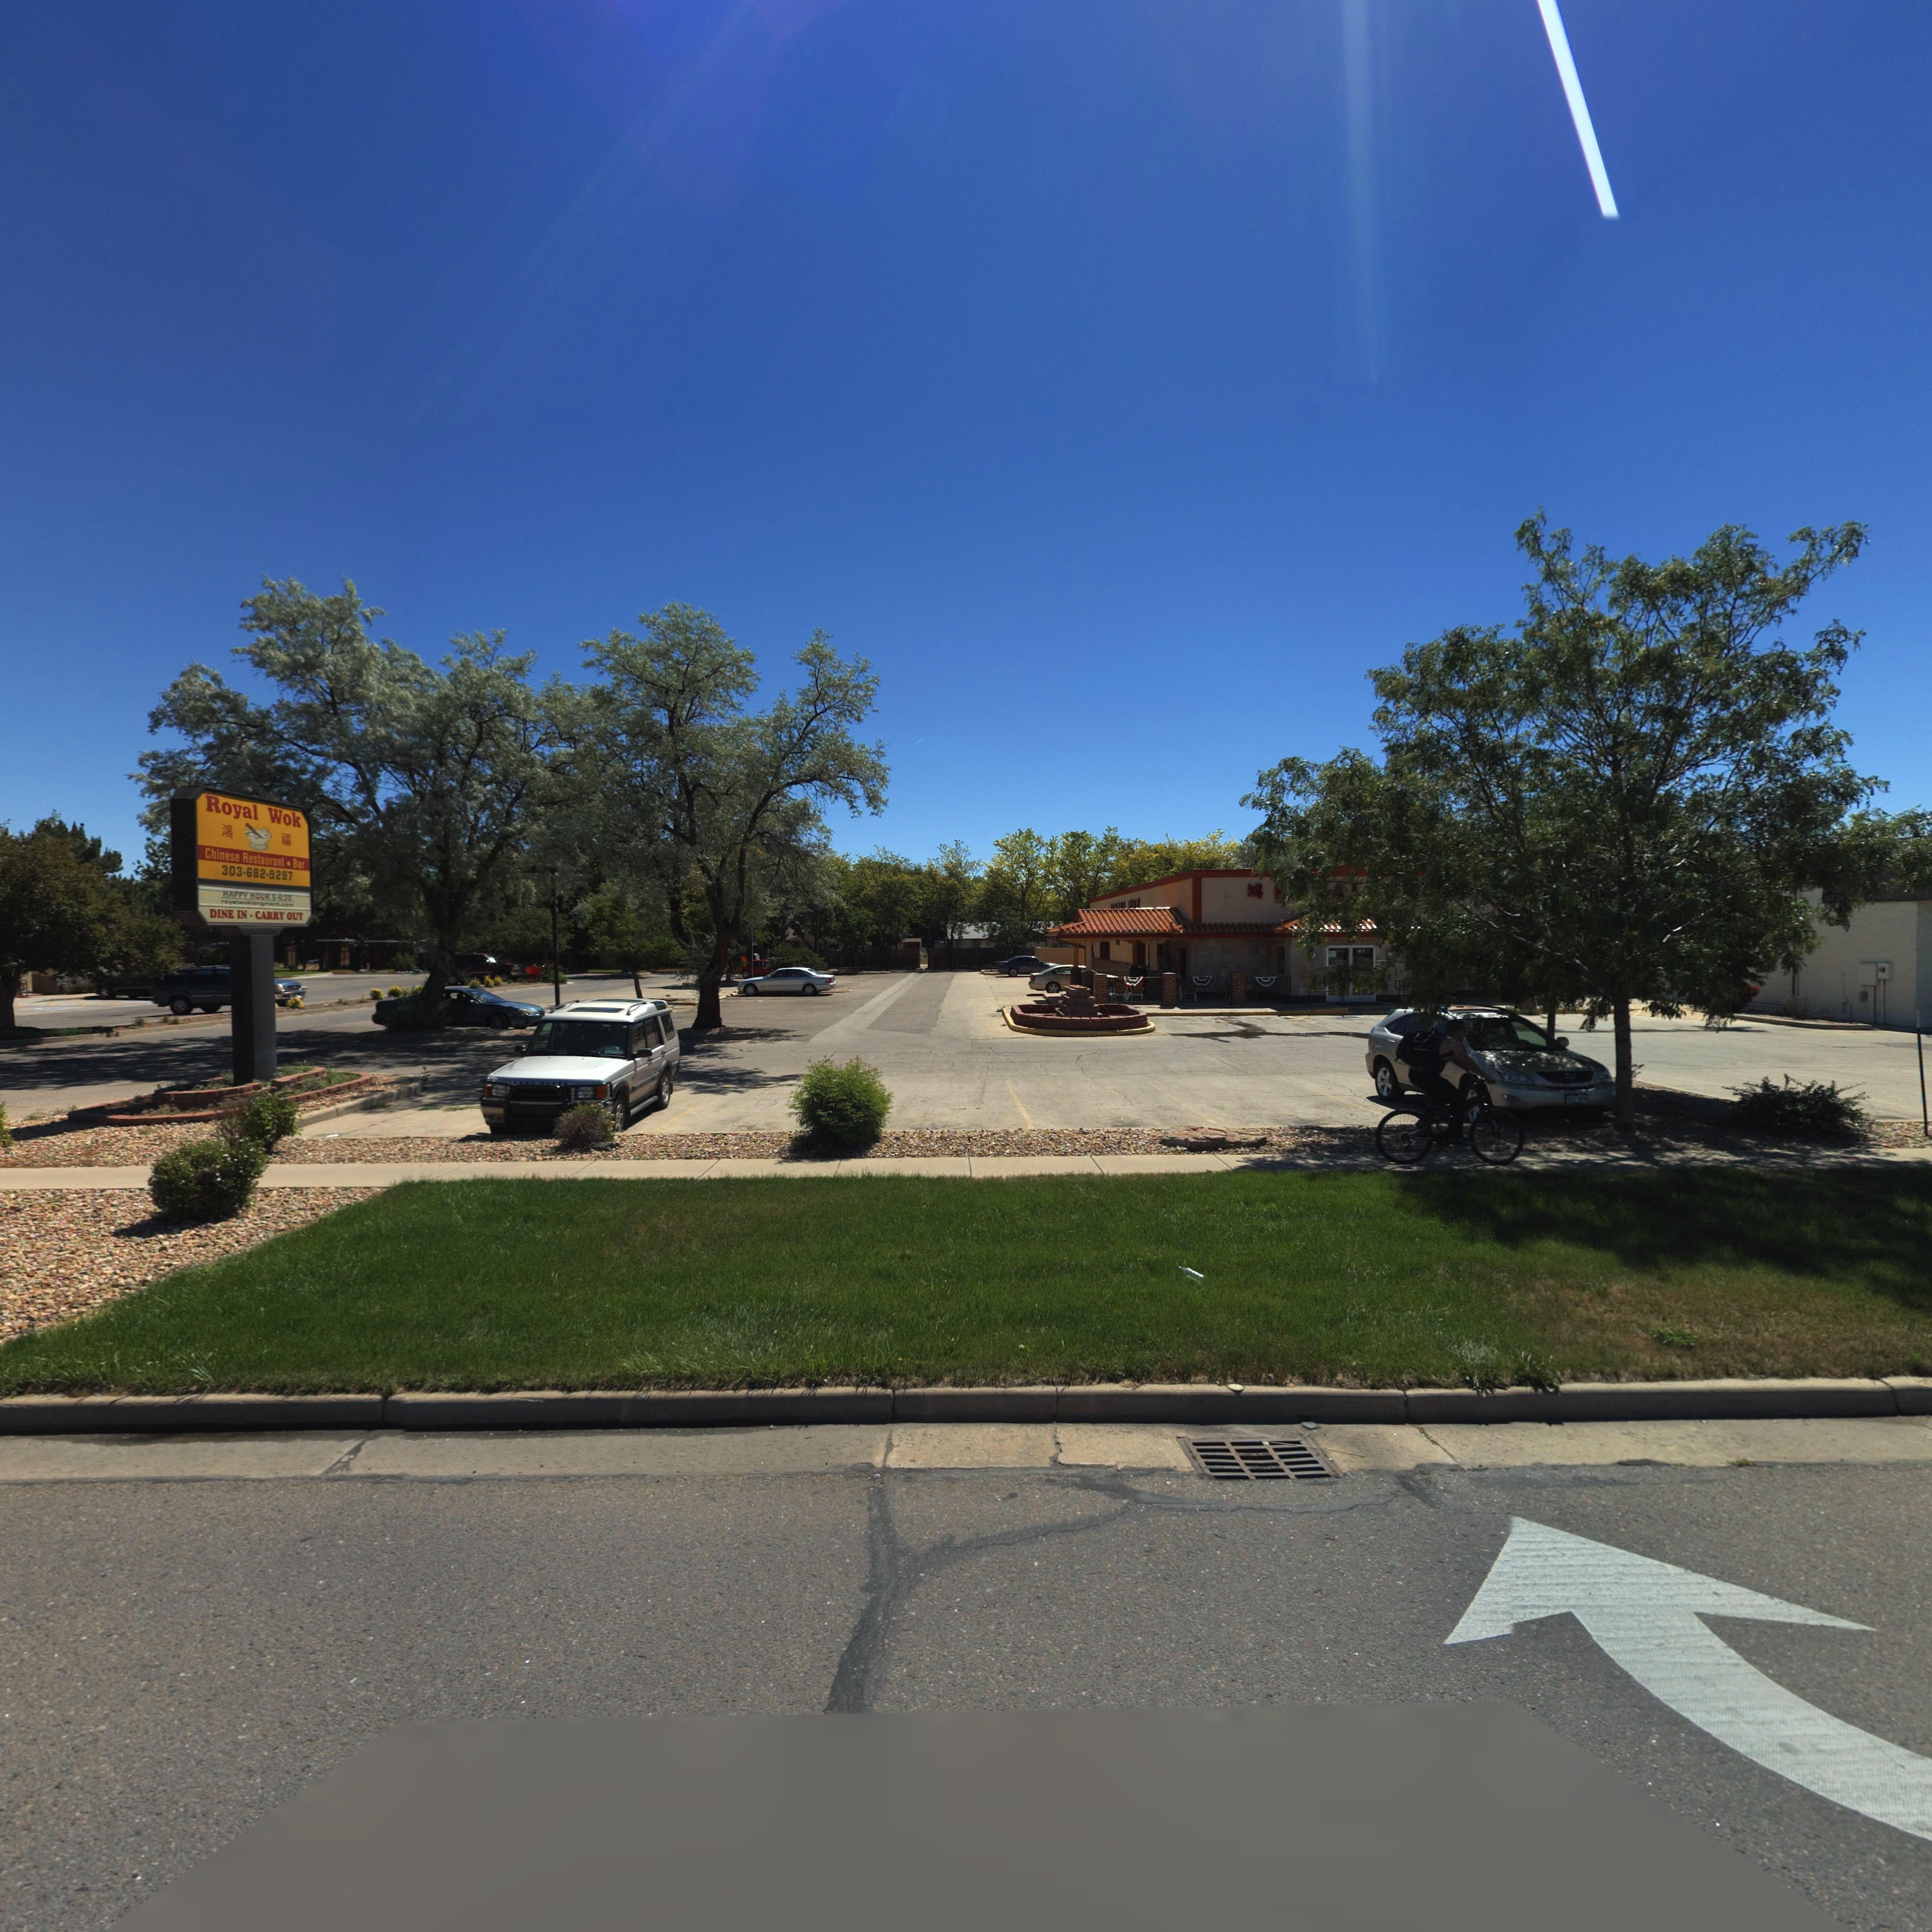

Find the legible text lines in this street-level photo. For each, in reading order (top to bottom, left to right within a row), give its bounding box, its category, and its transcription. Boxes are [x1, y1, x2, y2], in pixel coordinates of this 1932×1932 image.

[205, 794, 301, 828] BusinessName: Royal Wok